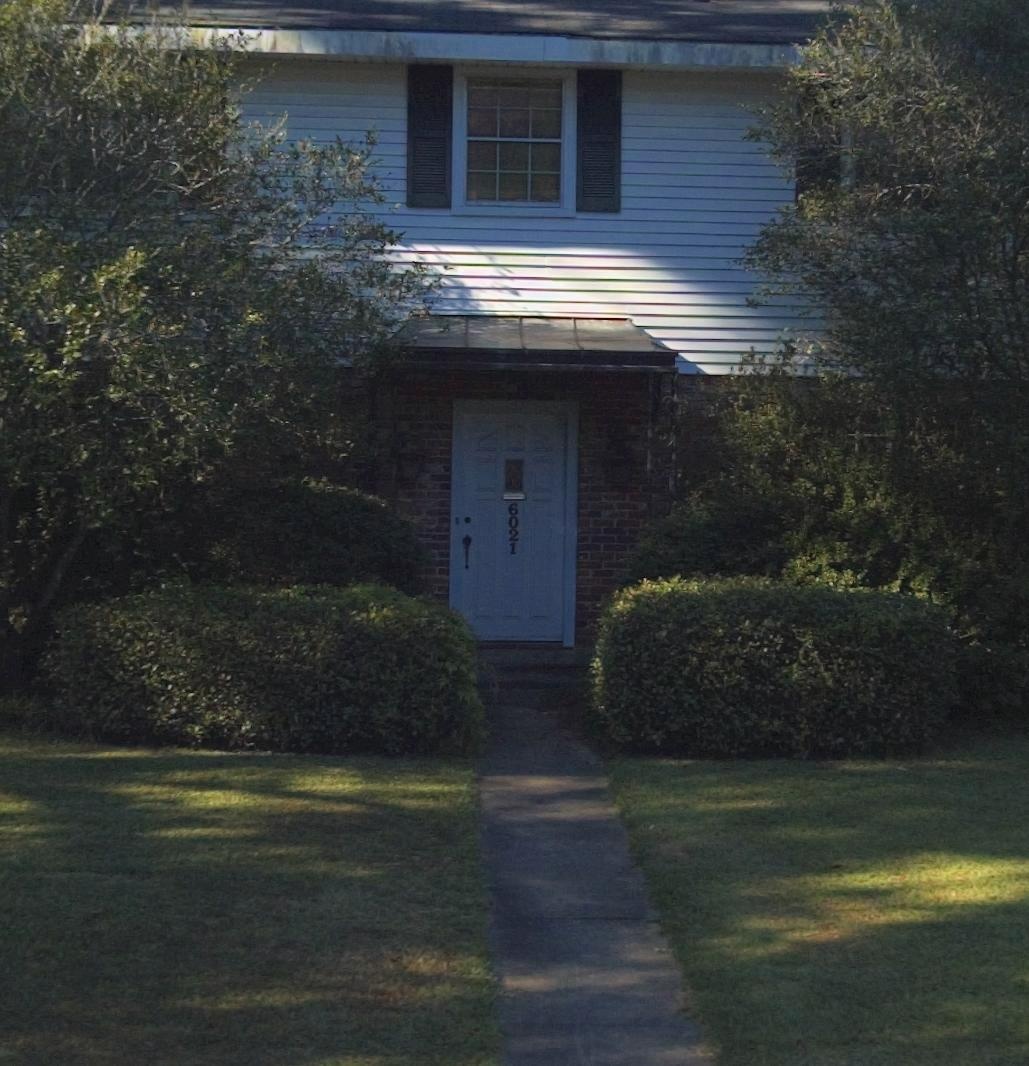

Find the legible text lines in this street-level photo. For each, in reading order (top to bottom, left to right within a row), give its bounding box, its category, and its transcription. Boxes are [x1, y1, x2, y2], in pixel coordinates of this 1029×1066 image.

[506, 500, 521, 557] StreetNumber: 6021